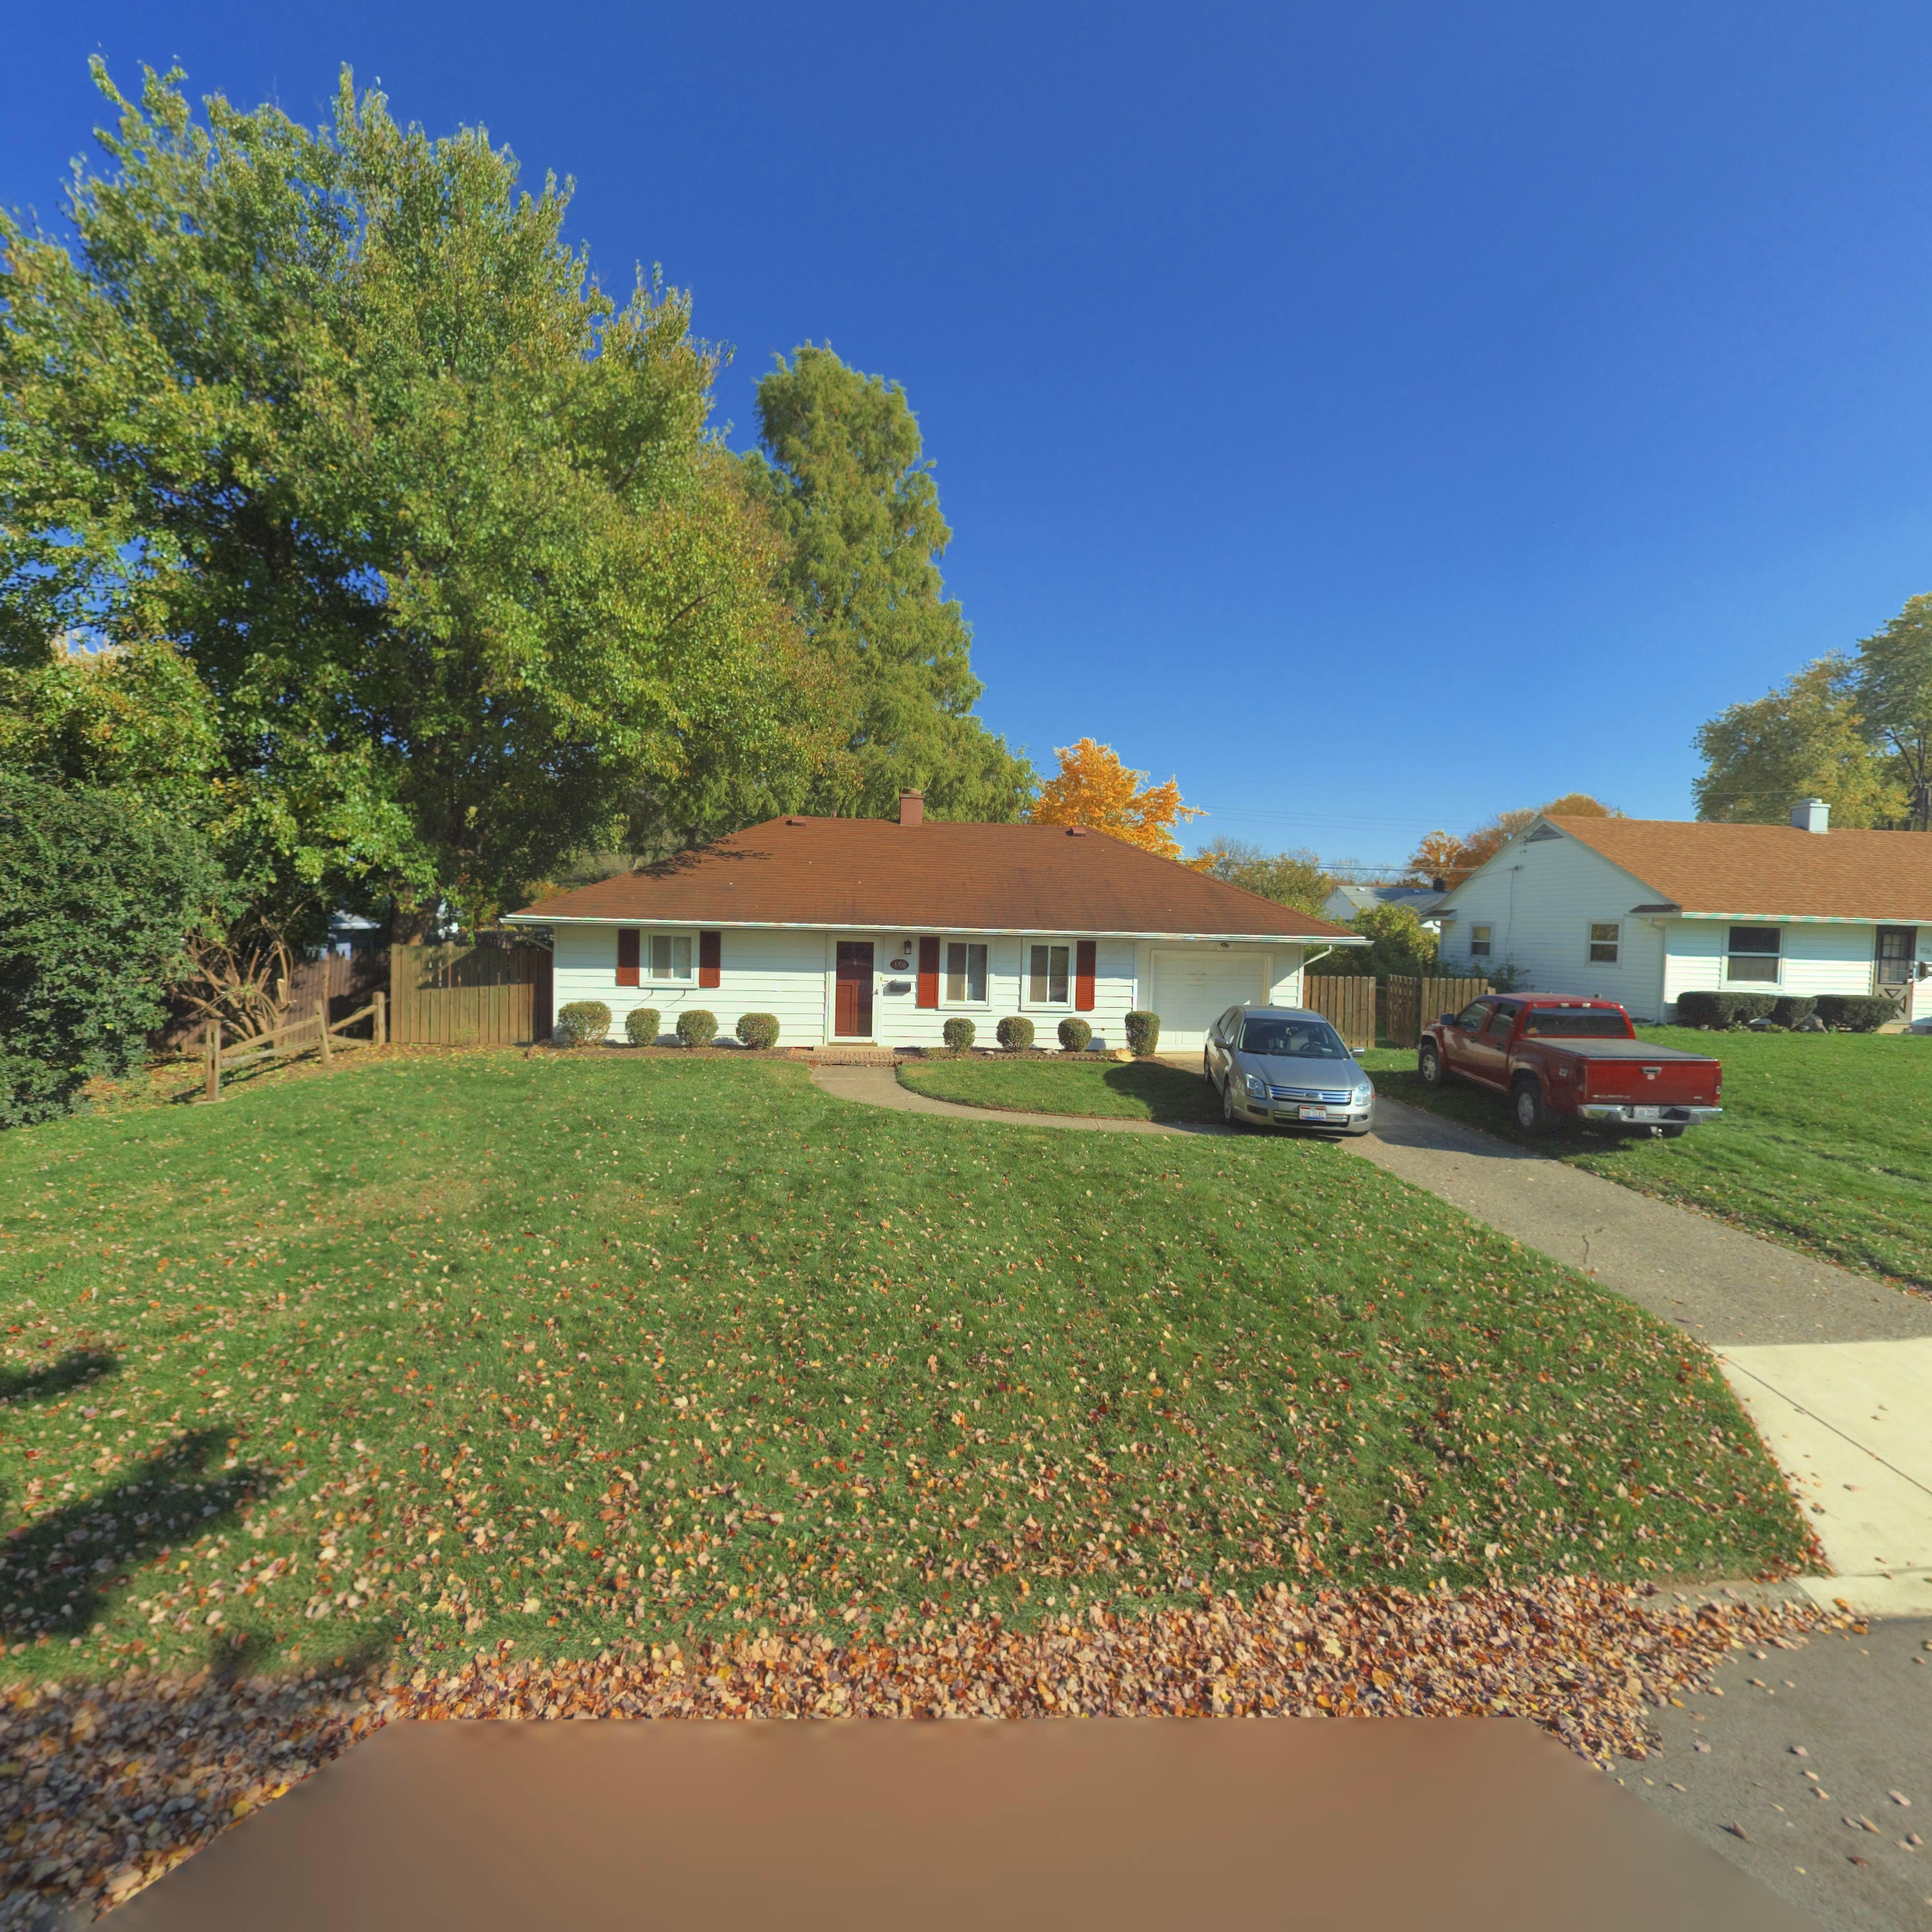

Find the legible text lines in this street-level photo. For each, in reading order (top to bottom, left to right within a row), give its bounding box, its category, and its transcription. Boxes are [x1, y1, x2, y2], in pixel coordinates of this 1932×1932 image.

[892, 961, 906, 968] StreetNumber: 3708
[1301, 1110, 1324, 1118] None: FUU 7141